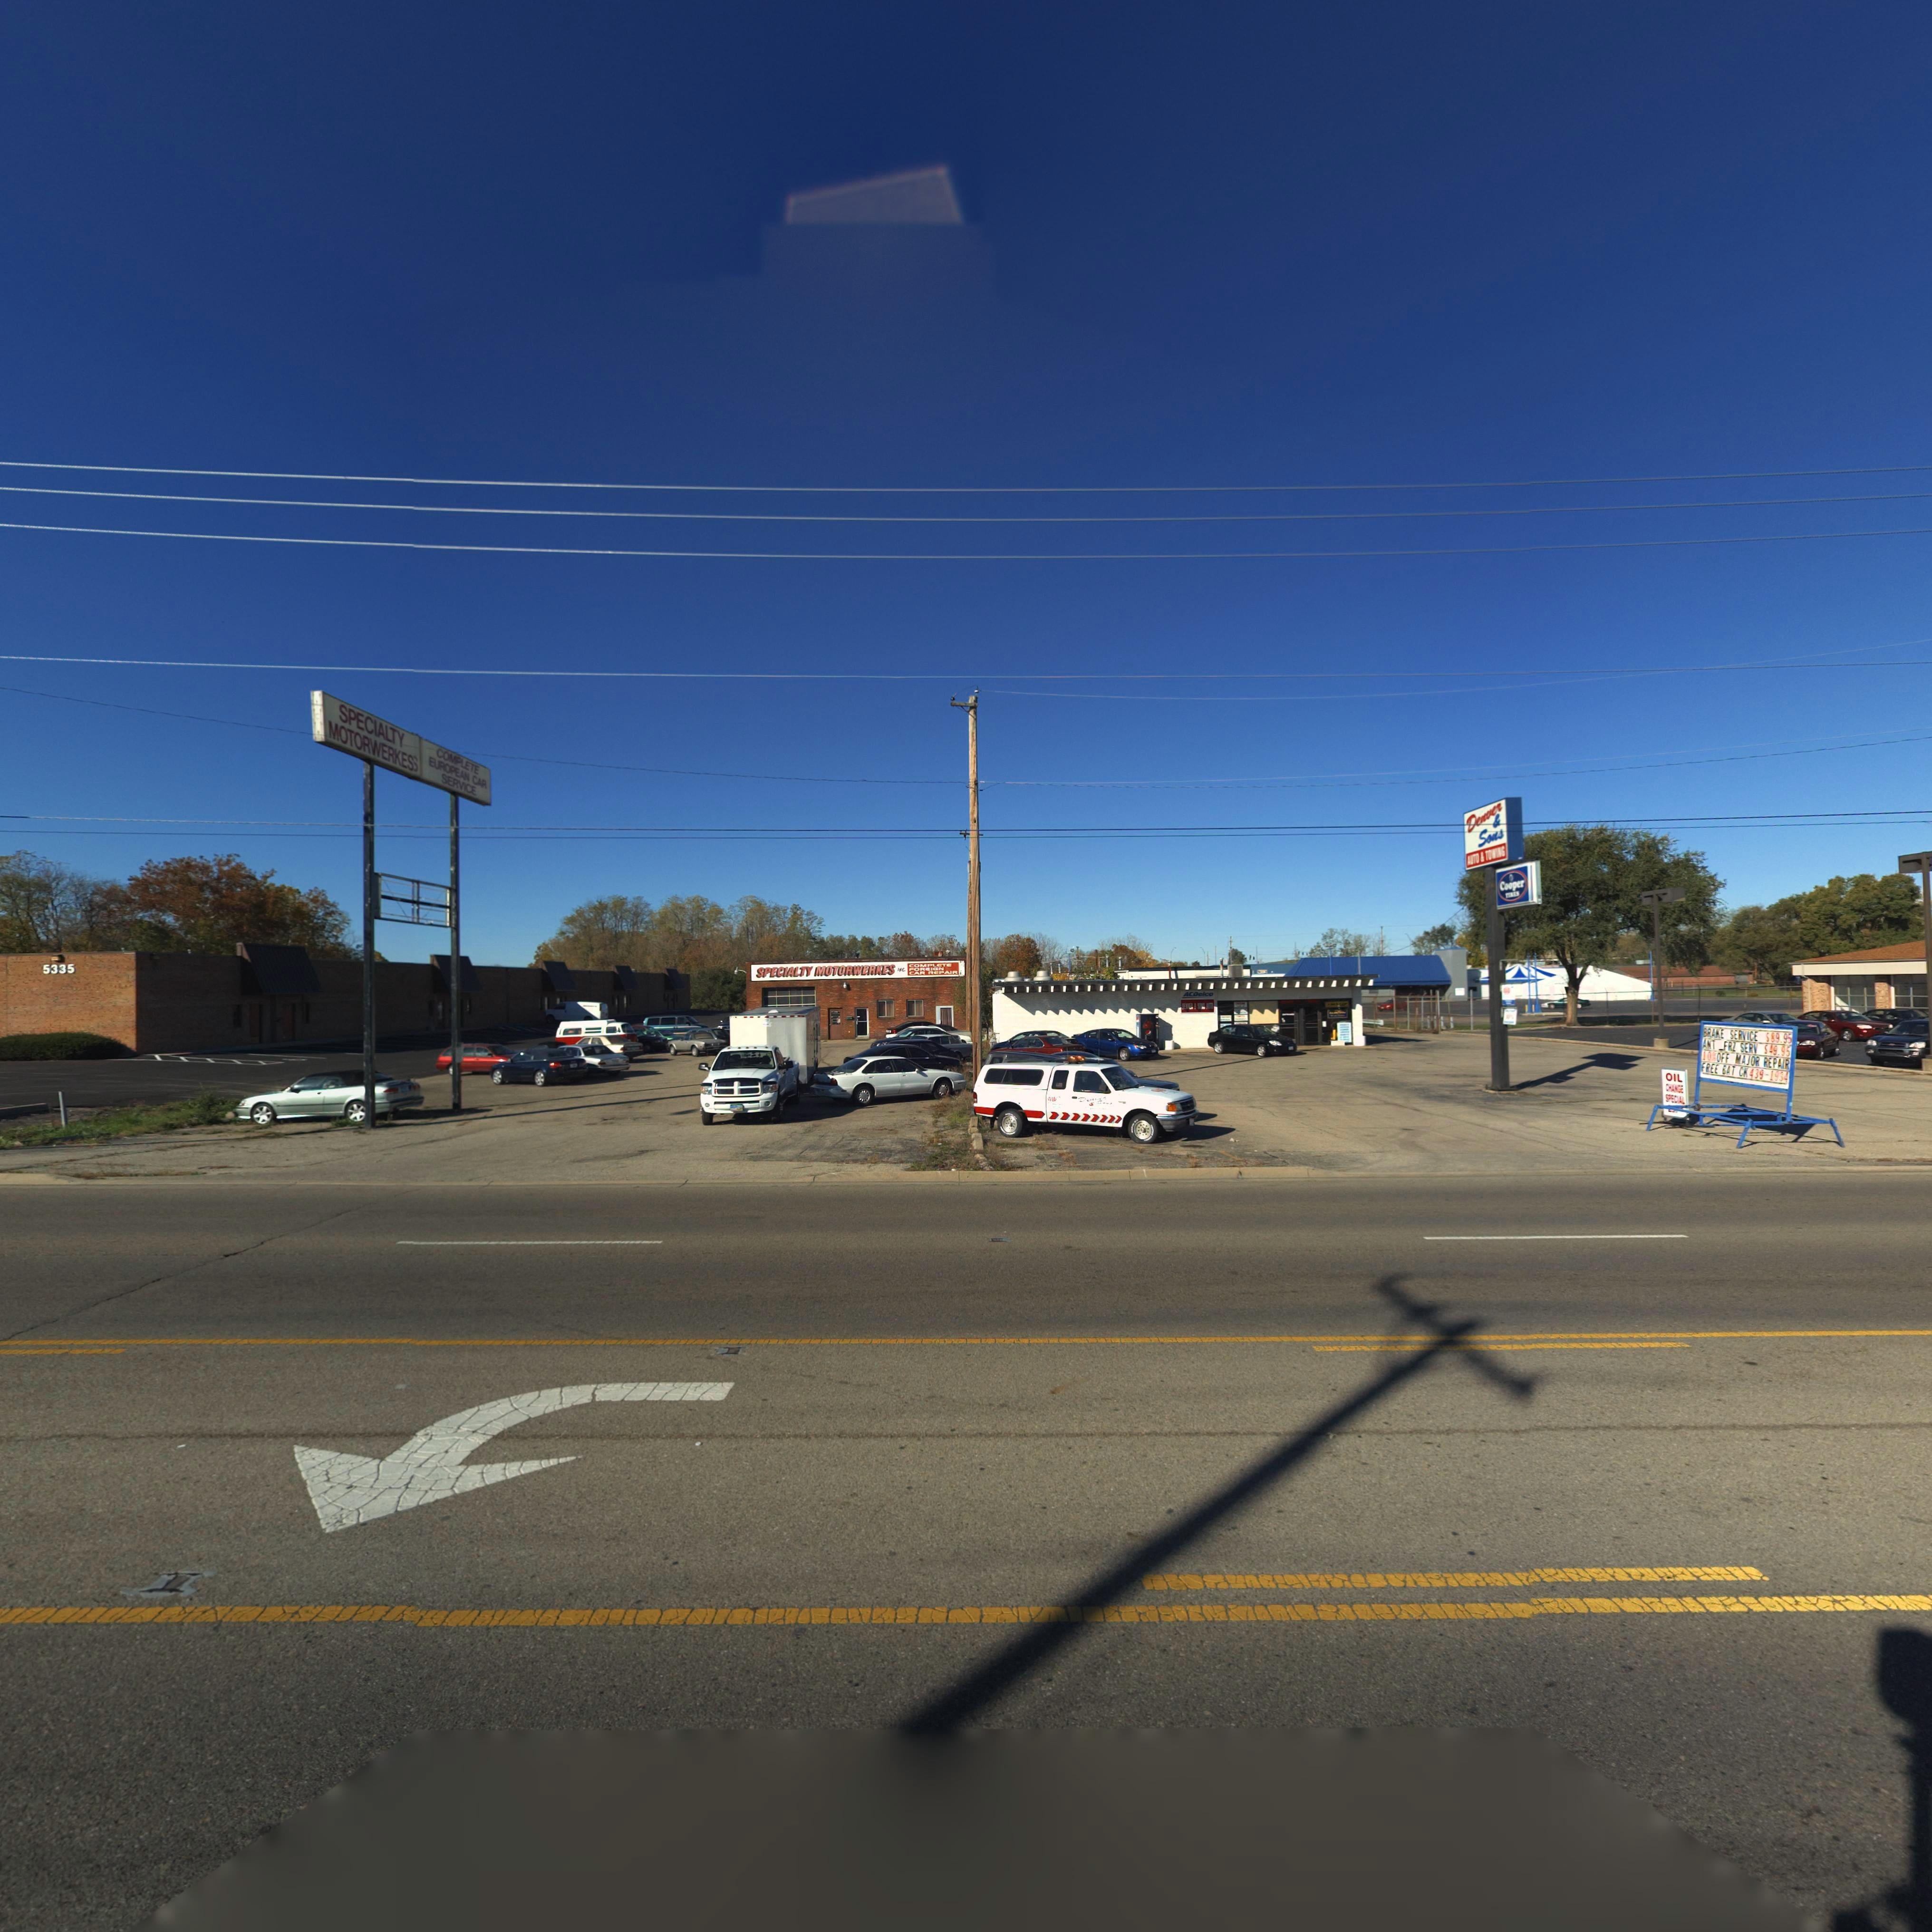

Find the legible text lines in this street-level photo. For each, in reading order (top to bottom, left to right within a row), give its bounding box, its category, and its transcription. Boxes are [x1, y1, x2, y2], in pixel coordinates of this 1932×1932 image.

[42, 964, 76, 975] StreetNumber: 5335